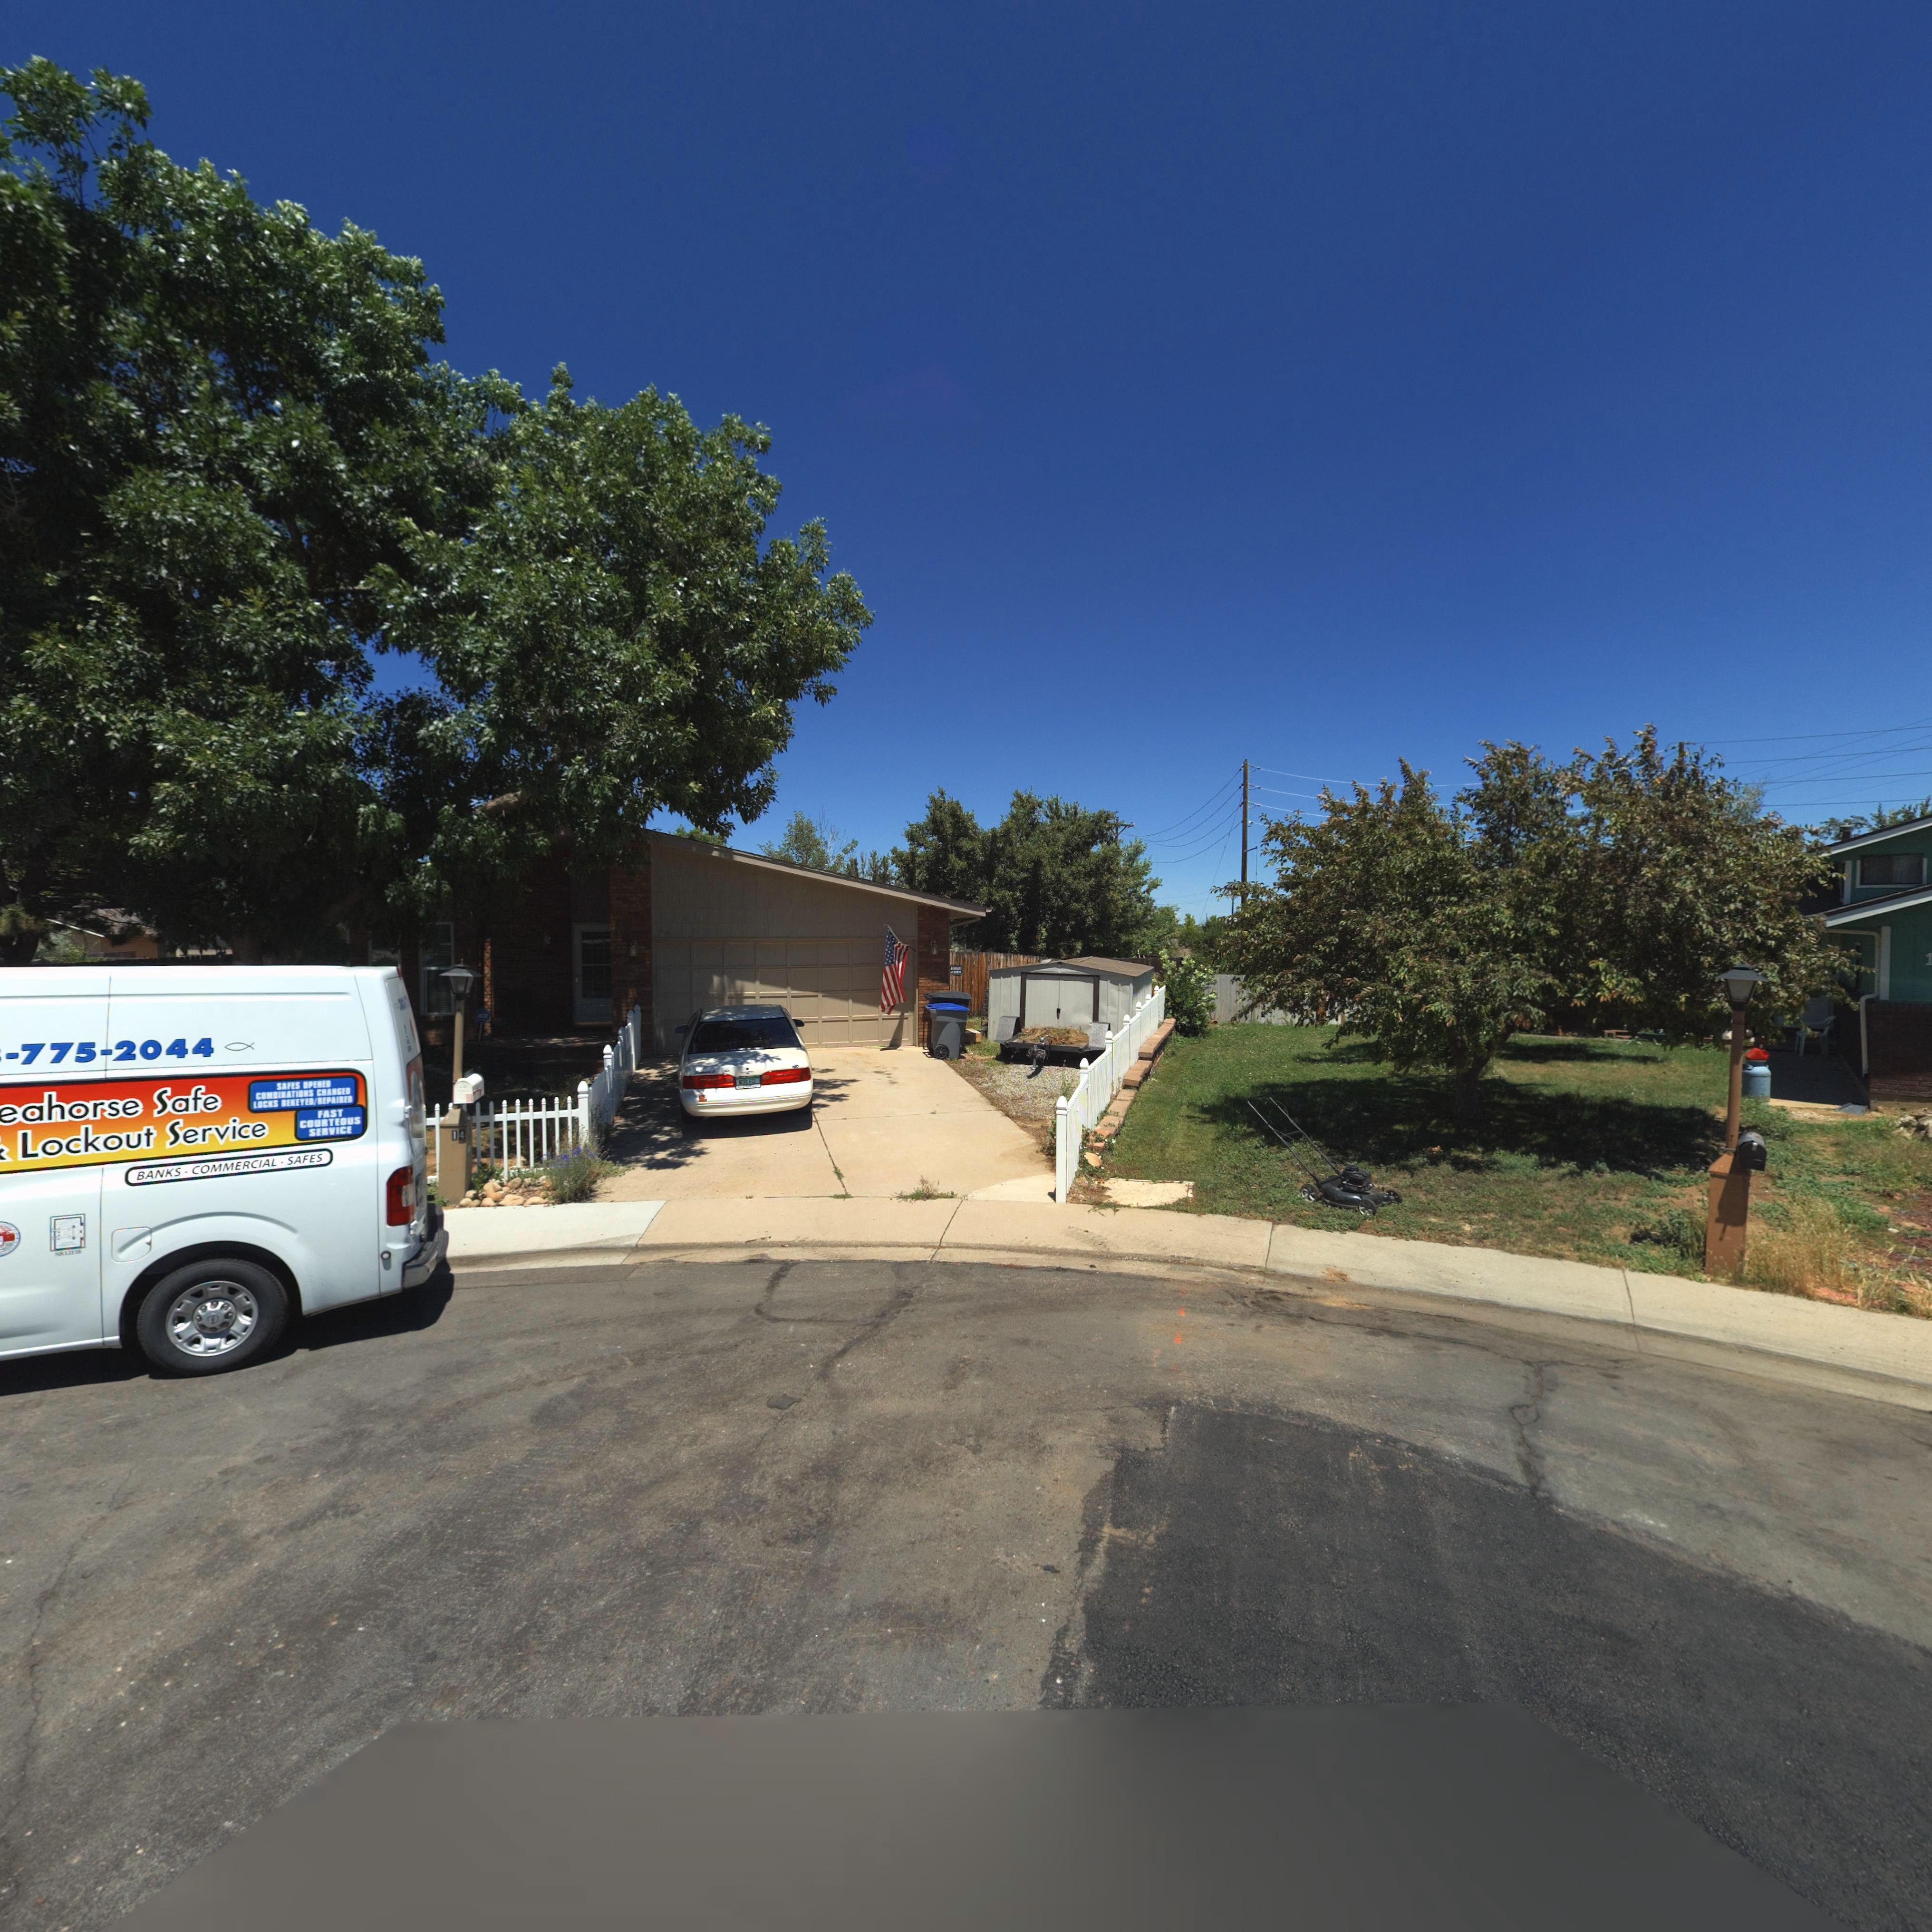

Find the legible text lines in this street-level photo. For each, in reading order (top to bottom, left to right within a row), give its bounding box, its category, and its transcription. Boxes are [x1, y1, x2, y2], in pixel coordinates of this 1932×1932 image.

[659, 926, 669, 936] StreetNumber: 14
[452, 1130, 465, 1140] StreetNumber: 14